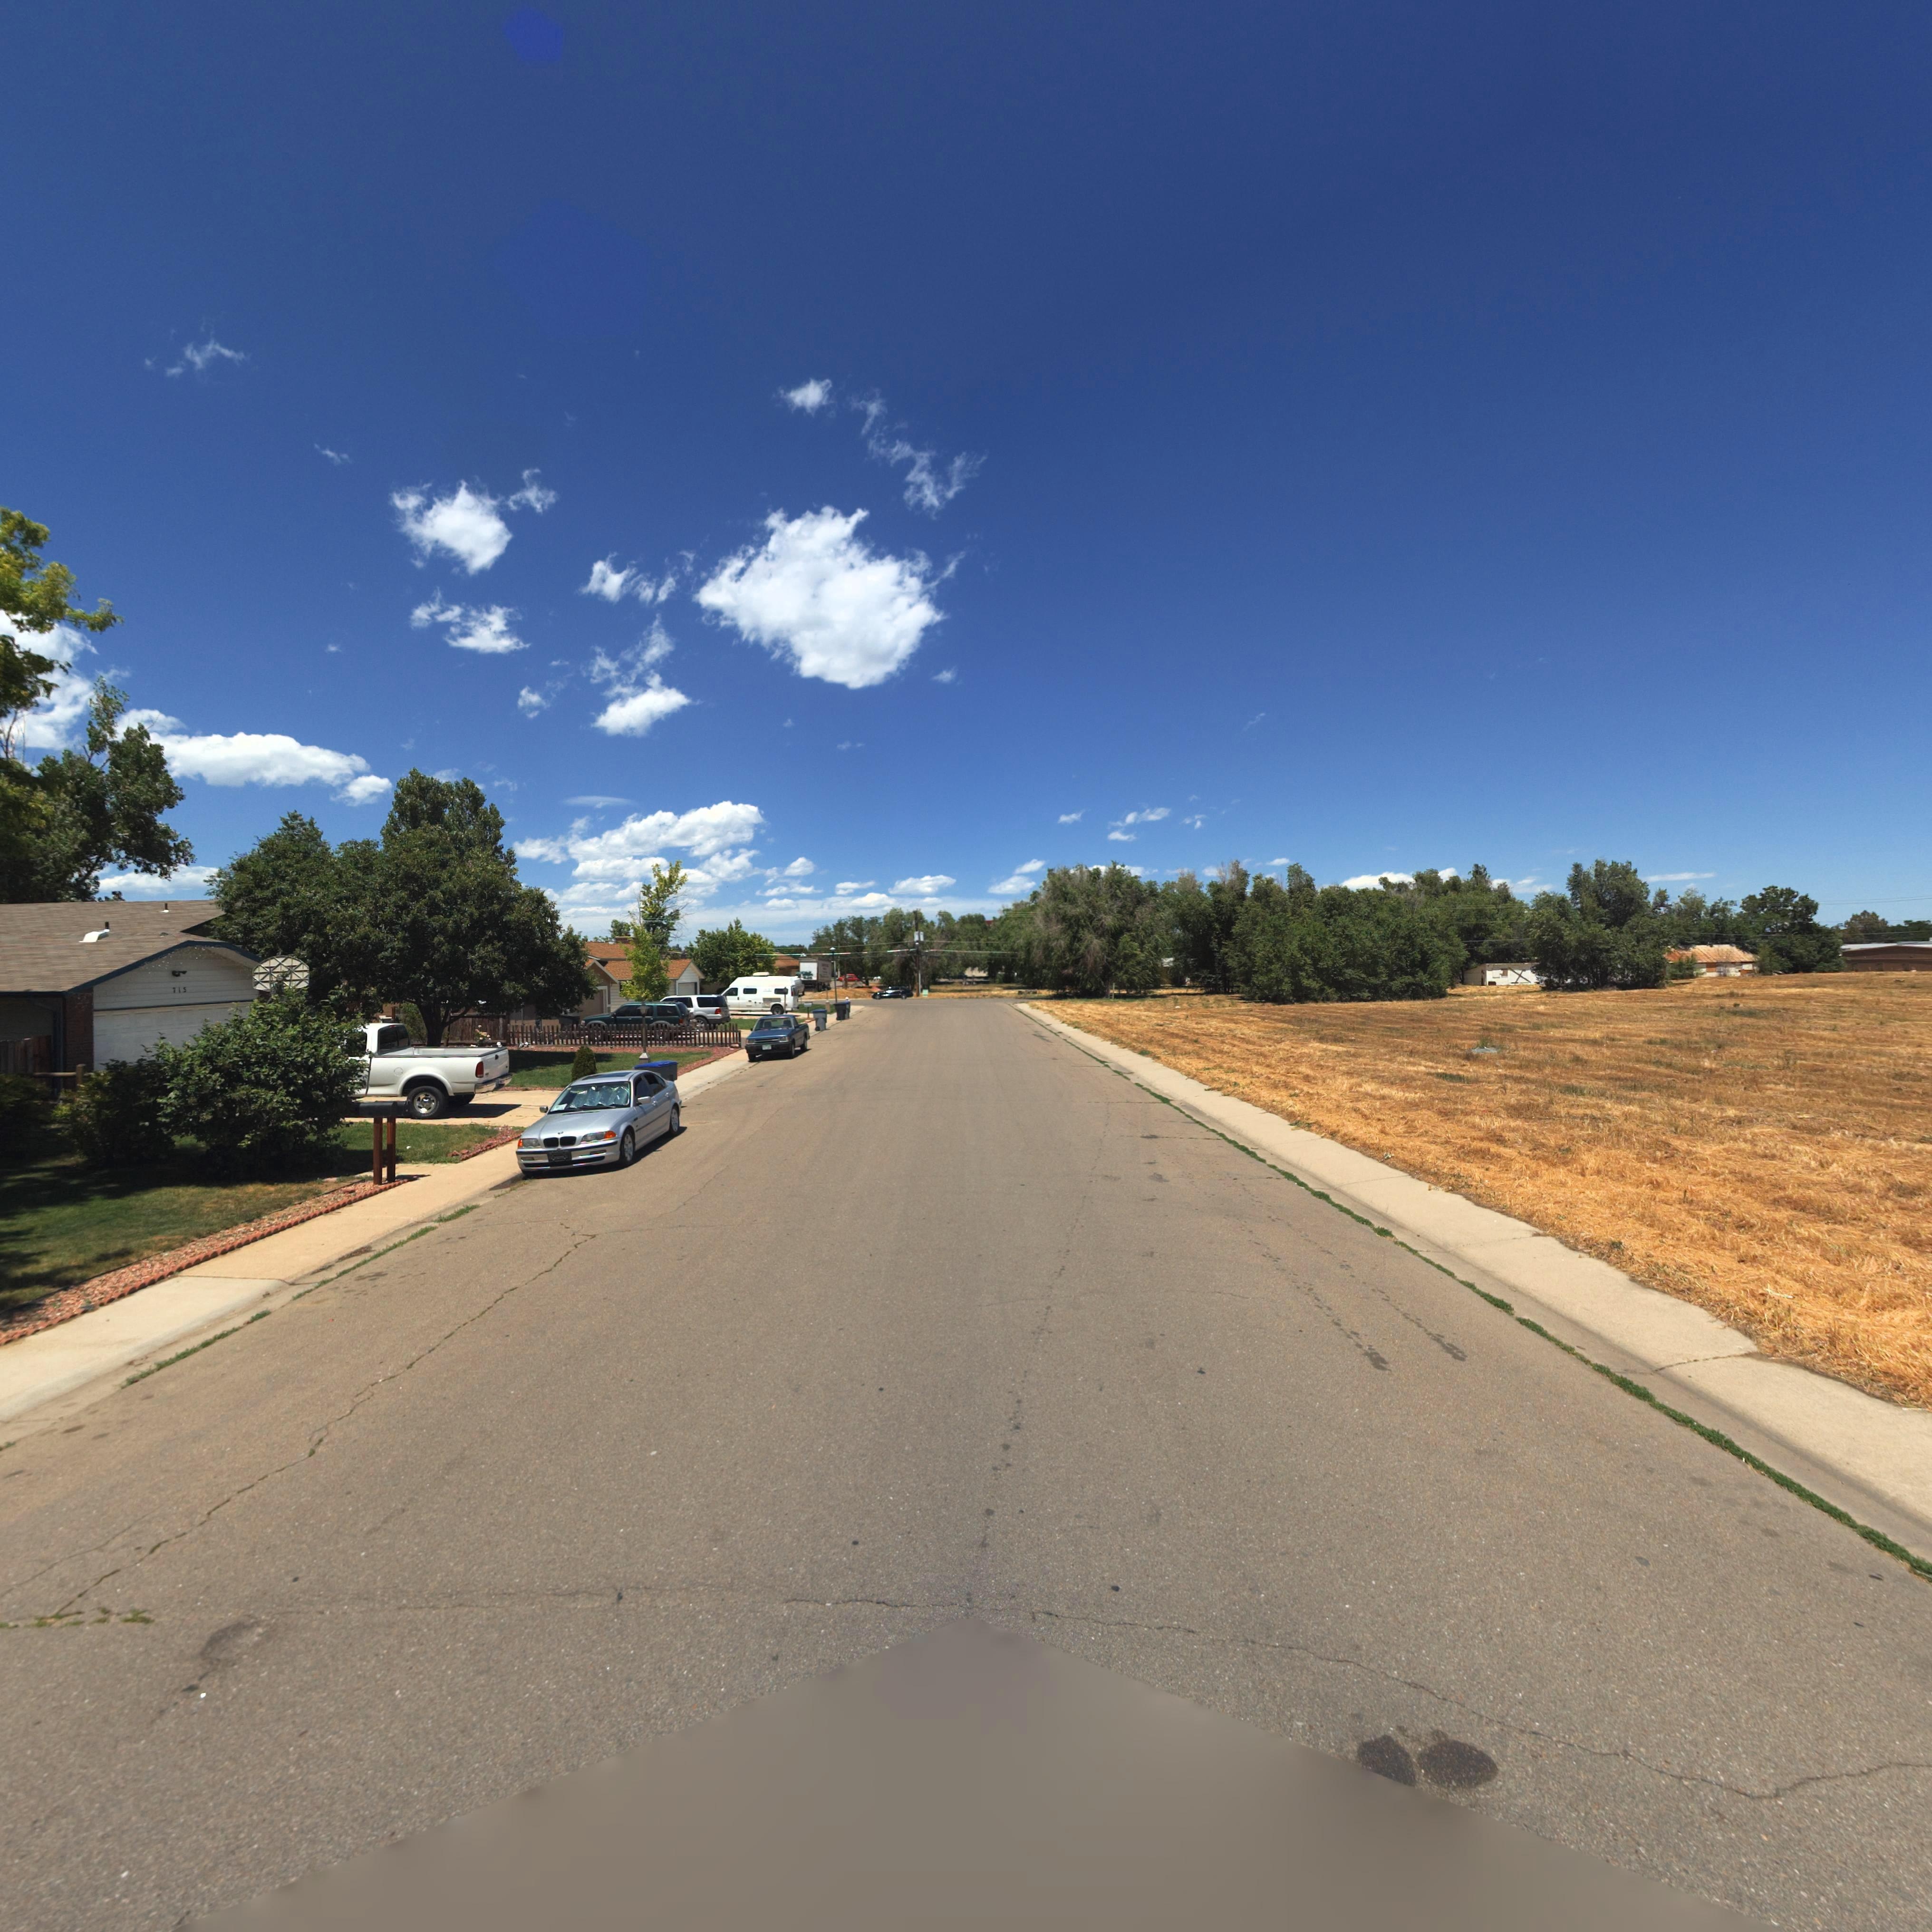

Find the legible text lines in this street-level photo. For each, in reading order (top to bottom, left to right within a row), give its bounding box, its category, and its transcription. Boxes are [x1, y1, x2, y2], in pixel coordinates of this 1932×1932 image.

[172, 986, 187, 993] StreetNumber: 715